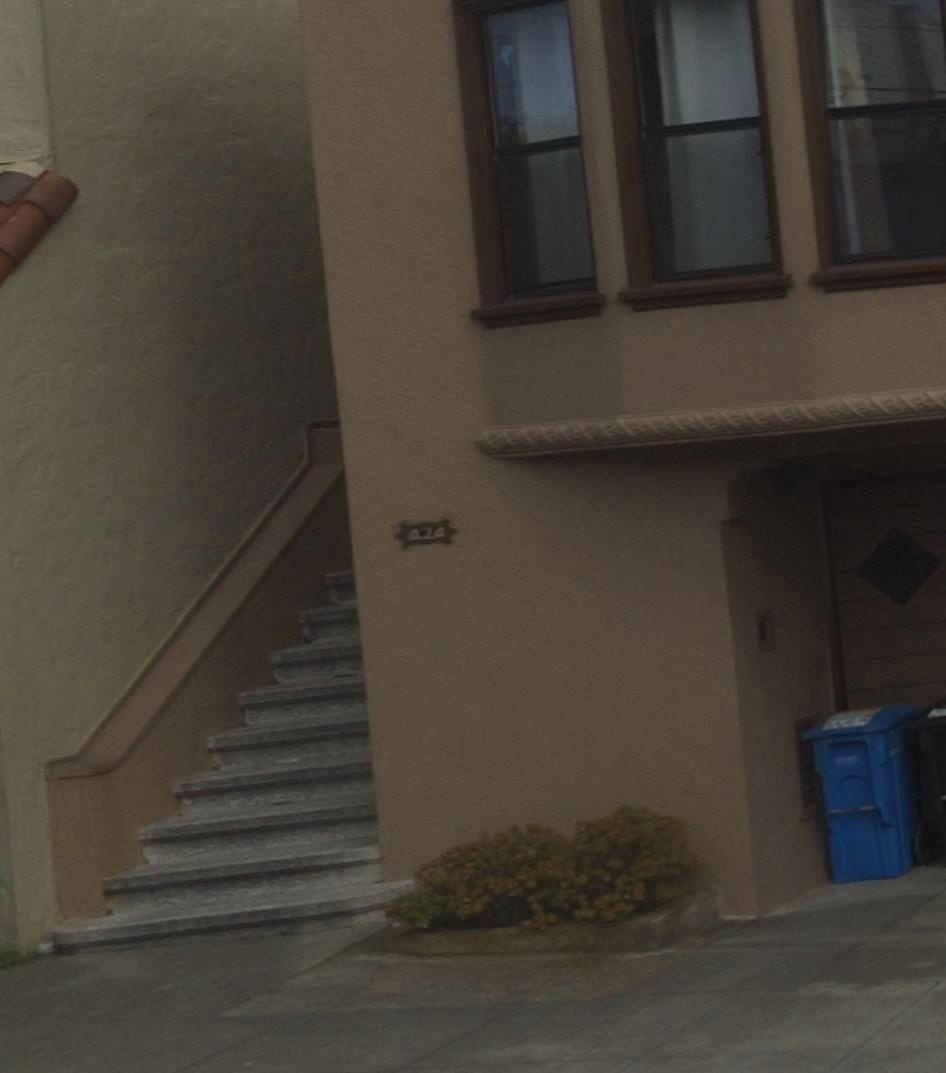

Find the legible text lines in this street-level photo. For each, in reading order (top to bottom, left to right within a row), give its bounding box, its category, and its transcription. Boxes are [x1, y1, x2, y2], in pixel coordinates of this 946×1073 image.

[404, 522, 450, 544] StreetNumber: 424